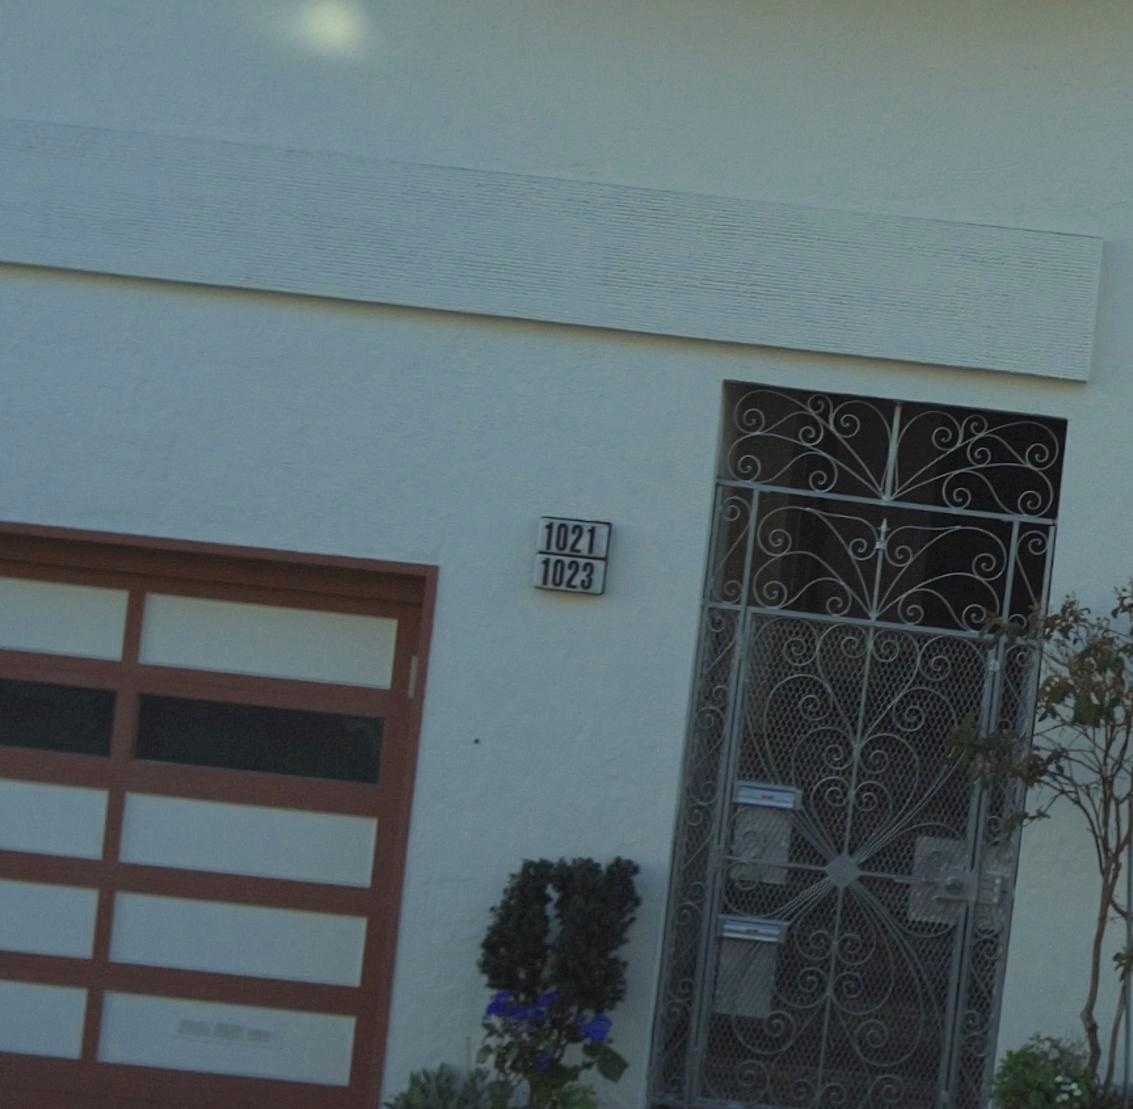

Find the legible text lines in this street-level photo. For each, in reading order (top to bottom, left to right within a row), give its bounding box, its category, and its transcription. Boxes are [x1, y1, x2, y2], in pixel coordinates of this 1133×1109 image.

[541, 519, 598, 556] StreetNumber: 1021
[537, 555, 597, 593] StreetNumber: 1023